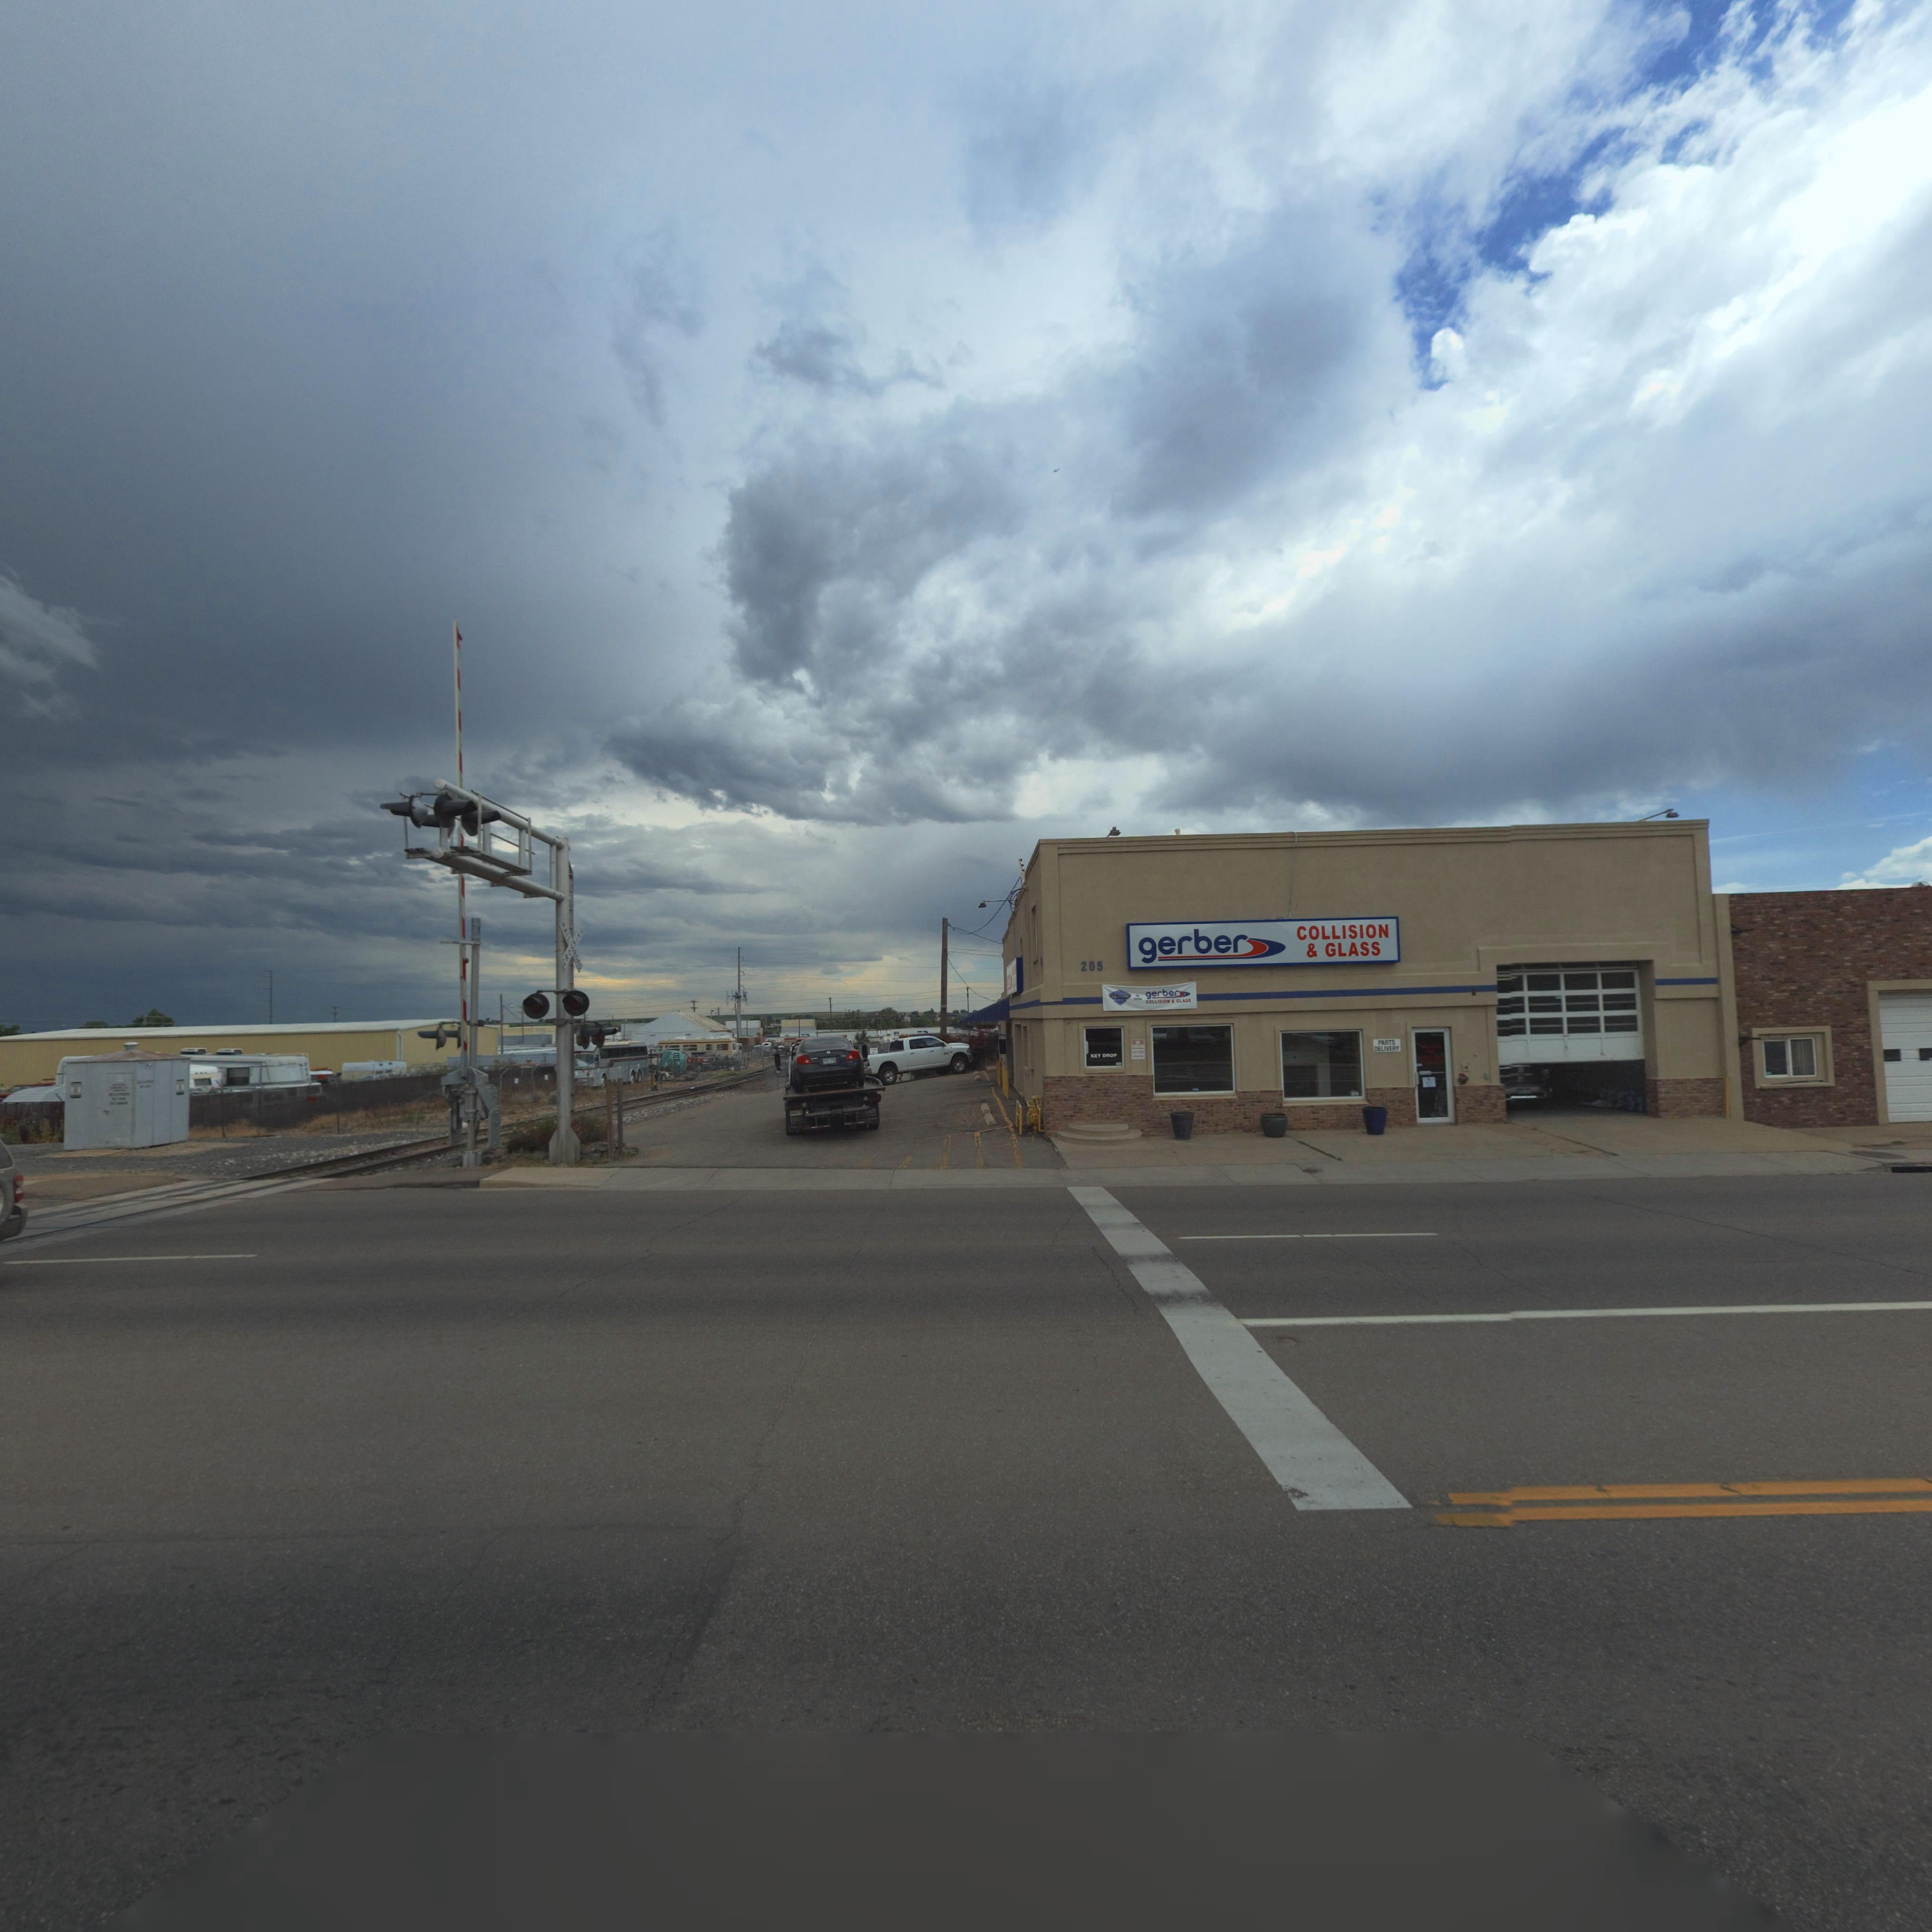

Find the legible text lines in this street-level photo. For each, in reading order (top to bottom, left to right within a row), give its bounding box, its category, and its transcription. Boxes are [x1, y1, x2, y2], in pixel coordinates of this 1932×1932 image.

[1296, 923, 1389, 941] BusinessName: COLLISION
[1137, 928, 1248, 964] BusinessName: gerber
[1306, 941, 1381, 957] BusinessName: * GLASS
[1080, 960, 1103, 971] StreetNumber: 205
[1145, 988, 1179, 999] BusinessName: gerber
[1145, 997, 1191, 1004] BusinessName: COLLISION * GLASS